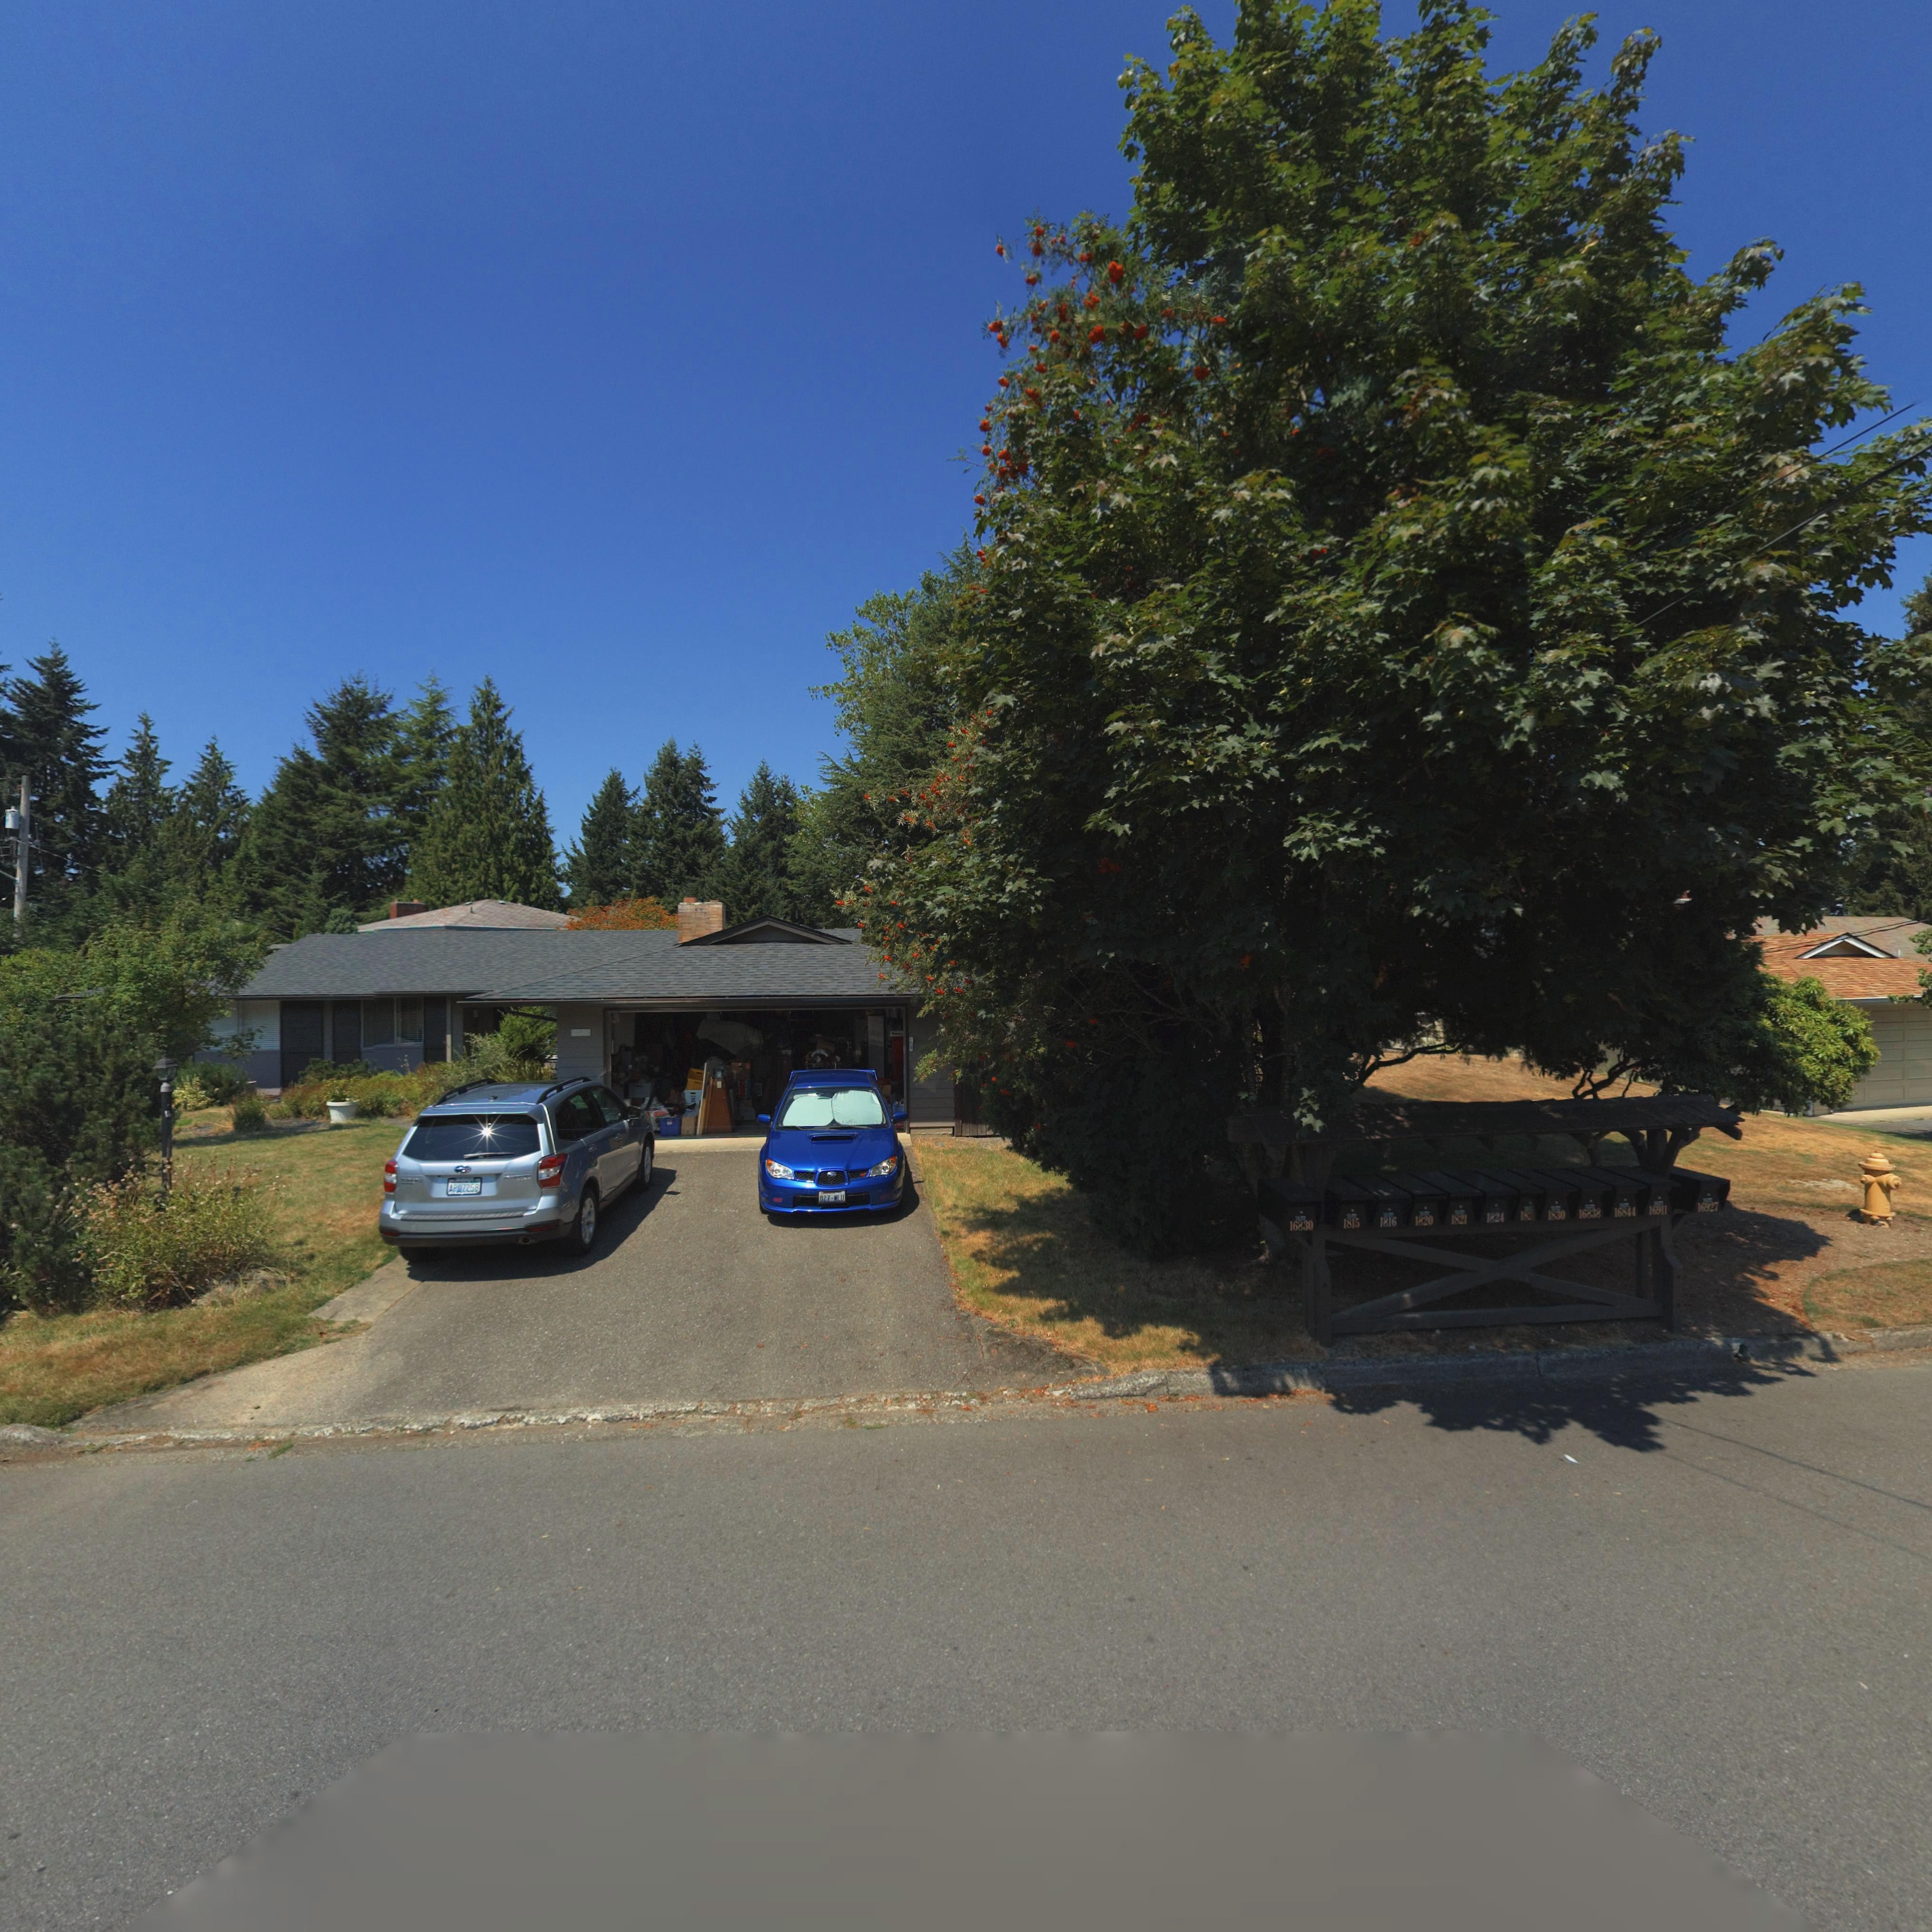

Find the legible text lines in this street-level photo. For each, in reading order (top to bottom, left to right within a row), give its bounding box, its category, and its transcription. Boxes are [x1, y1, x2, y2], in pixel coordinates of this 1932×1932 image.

[1289, 1219, 1314, 1231] StreetNumber: 16830
[1342, 1217, 1360, 1229] StreetNumber: 1815
[1380, 1216, 1397, 1227] StreetNumber: 1816
[1415, 1215, 1433, 1227] StreetNumber: 1820
[1450, 1214, 1467, 1226] StreetNumber: 1821
[1486, 1211, 1505, 1223] StreetNumber: 1824
[1519, 1210, 1533, 1222] StreetNumber: 18*
[1547, 1210, 1566, 1221] StreetNumber: 1830
[1578, 1208, 1601, 1219] StreetNumber: 16838
[1614, 1207, 1637, 1218] StreetNumber: 16844
[1648, 1205, 1668, 1216] StreetNumber: 16911
[1697, 1201, 1719, 1213] StreetNumber: 16927